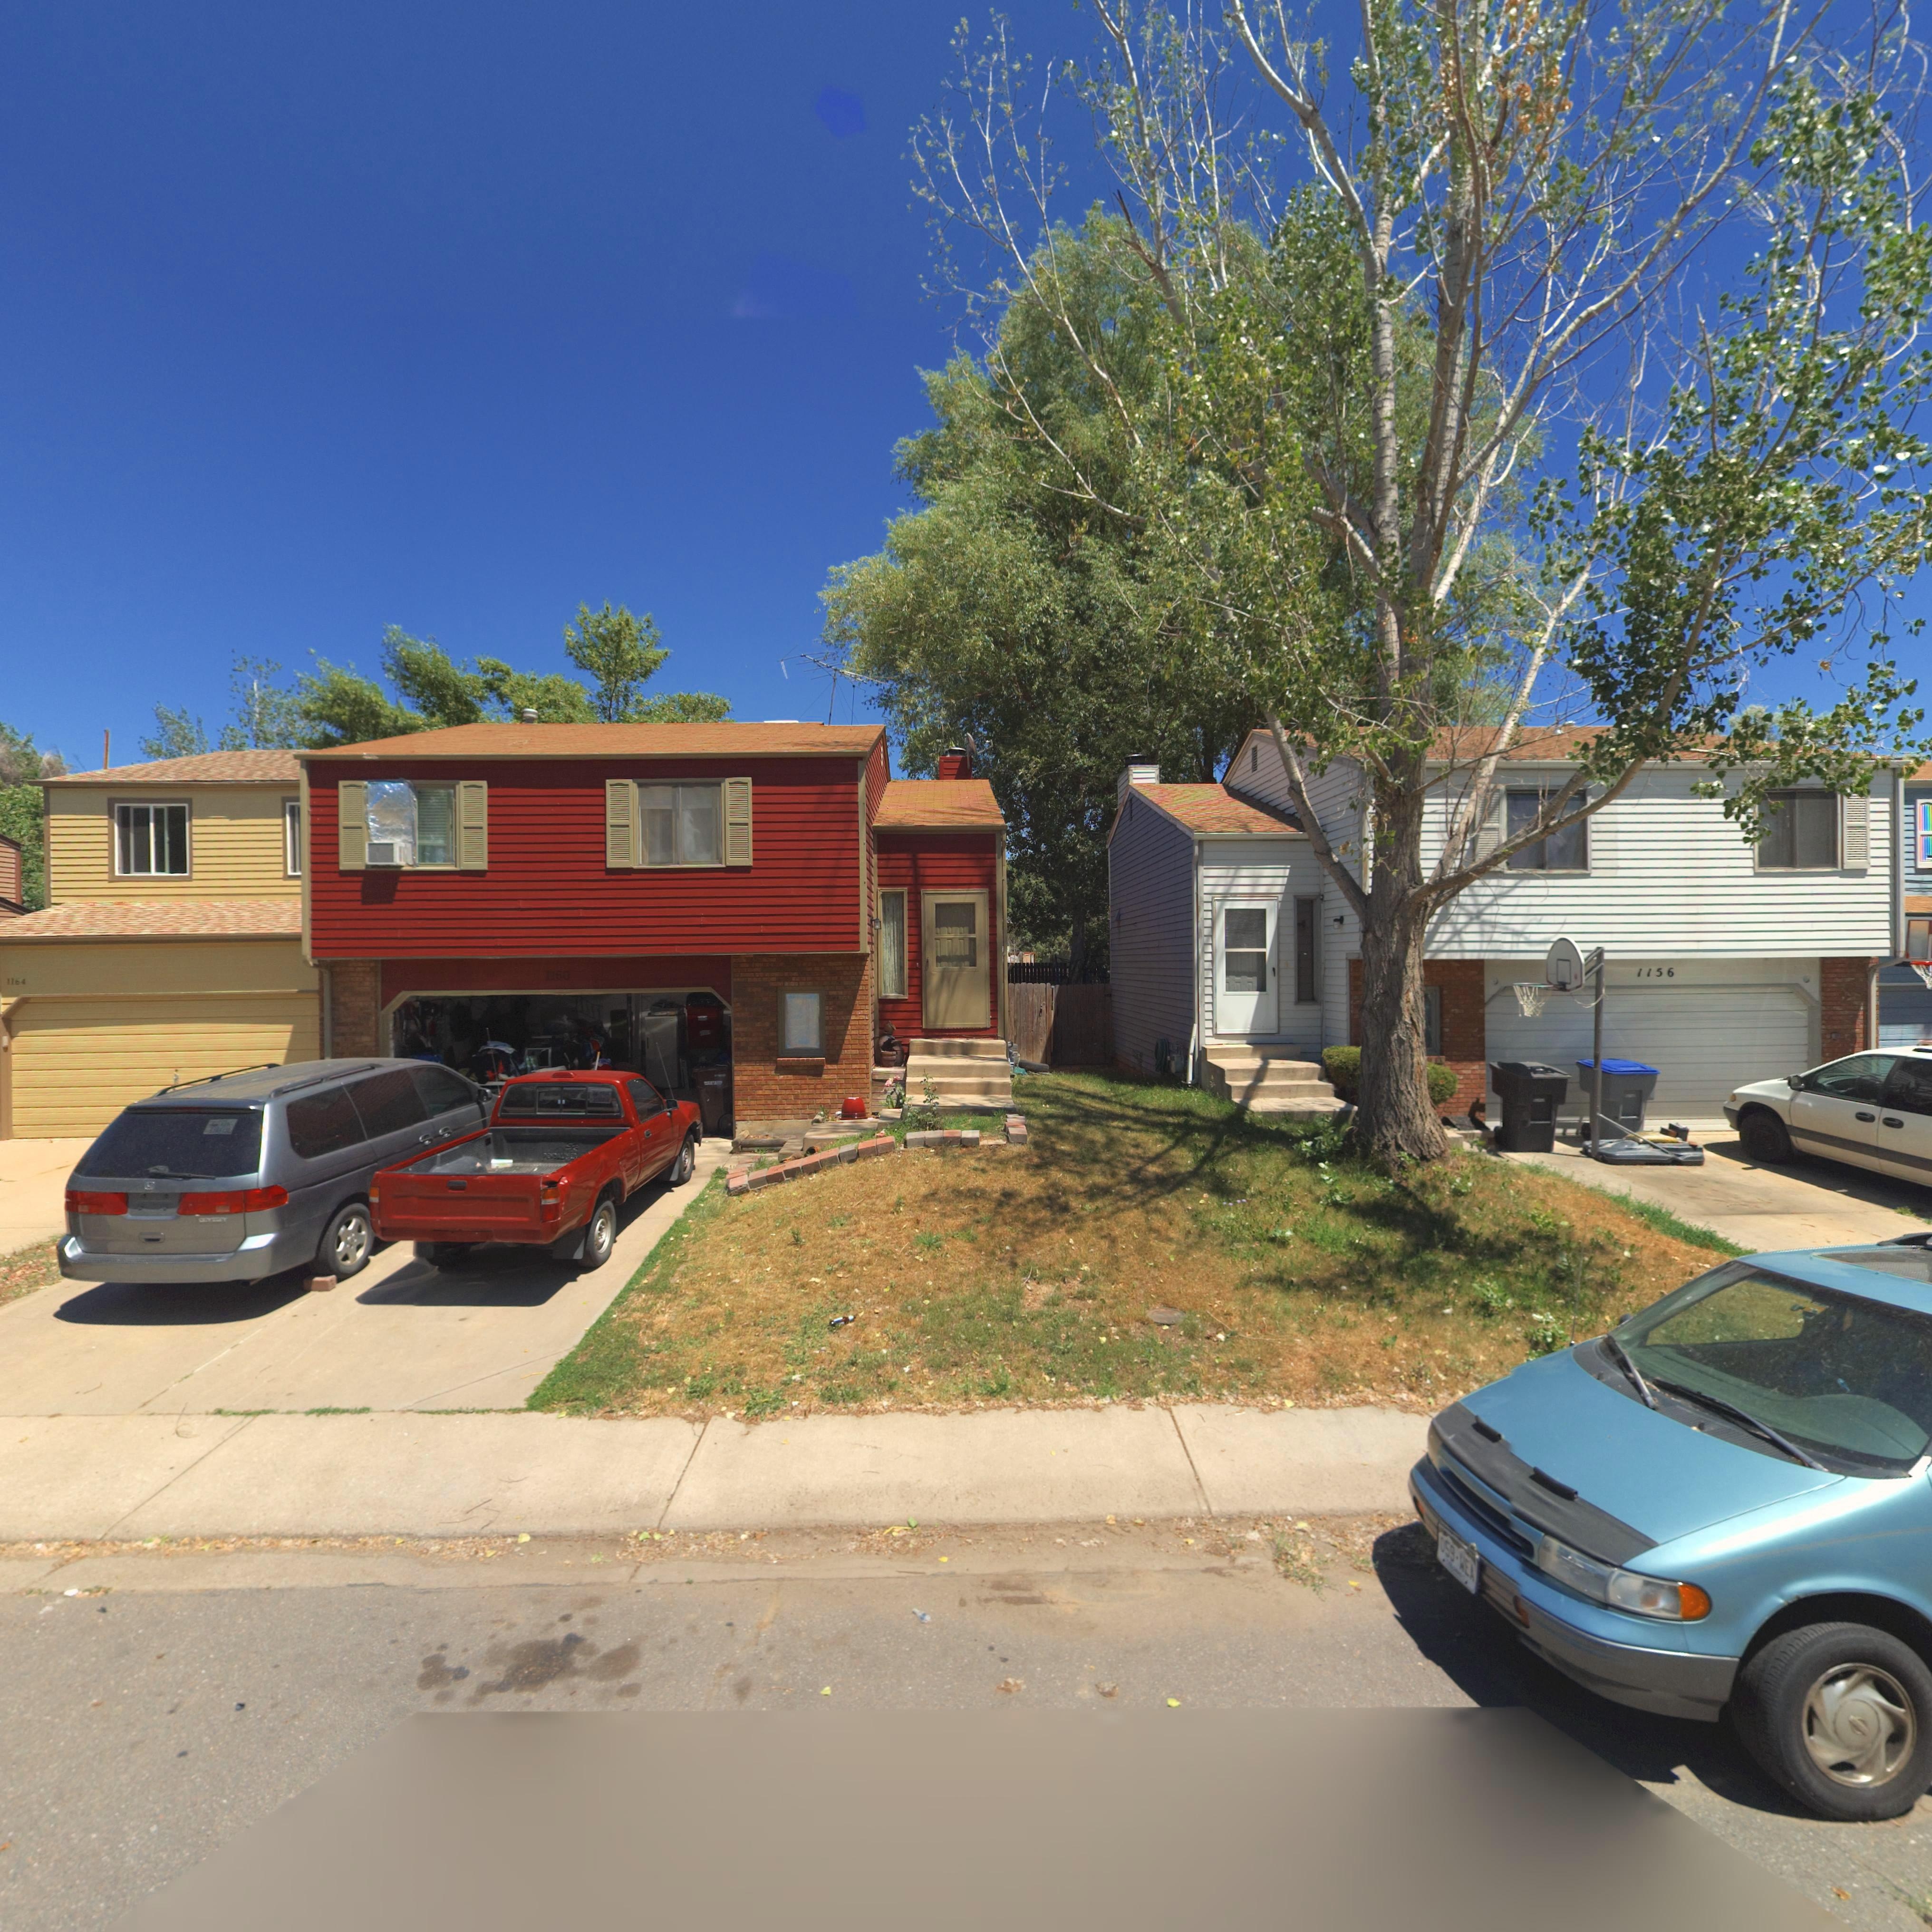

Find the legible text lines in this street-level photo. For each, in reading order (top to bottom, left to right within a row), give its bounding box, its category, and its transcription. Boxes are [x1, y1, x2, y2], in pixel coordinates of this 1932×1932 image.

[1636, 966, 1675, 978] StreetNumber: 1156